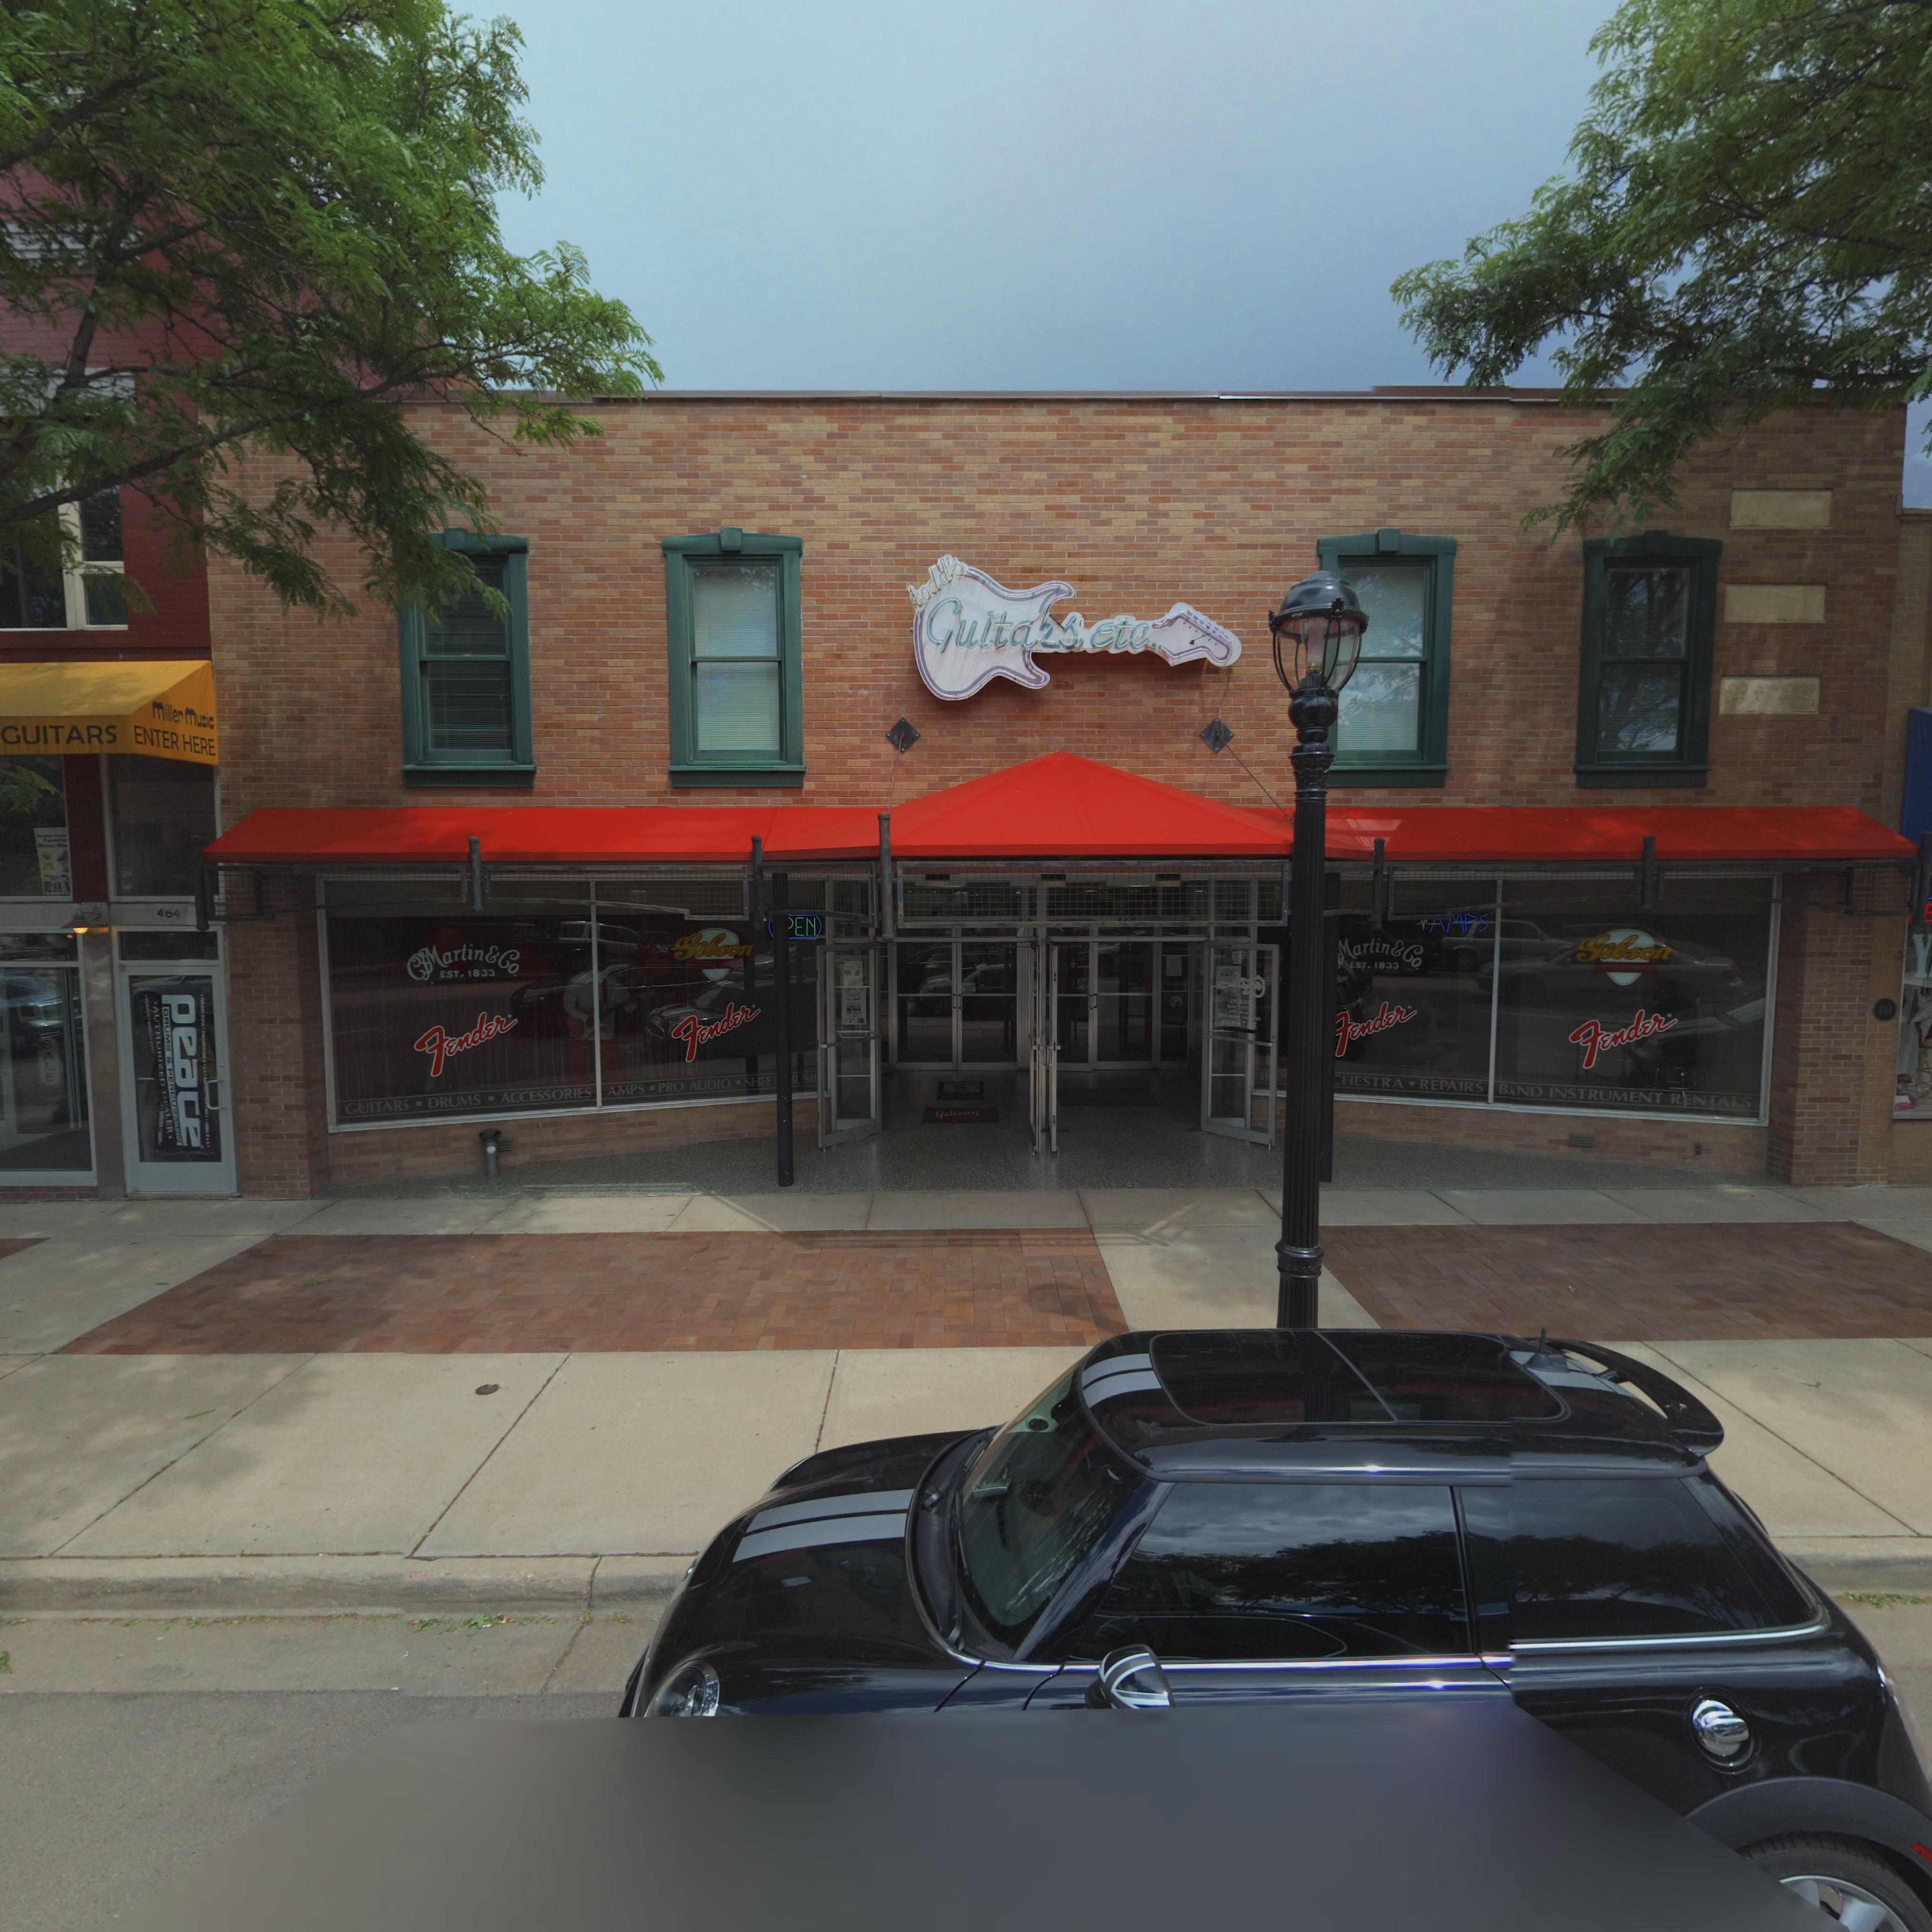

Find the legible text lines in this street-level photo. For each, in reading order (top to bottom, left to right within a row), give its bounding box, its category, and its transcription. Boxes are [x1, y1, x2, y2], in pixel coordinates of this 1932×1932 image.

[908, 555, 966, 608] BusinessName: todd's
[923, 595, 1159, 655] BusinessName: Guitar, Etc.
[151, 700, 216, 730] BusinessName: Miller Music
[156, 908, 180, 918] StreetNumber: 46*
[1878, 1005, 1893, 1014] StreetNumber: *5*